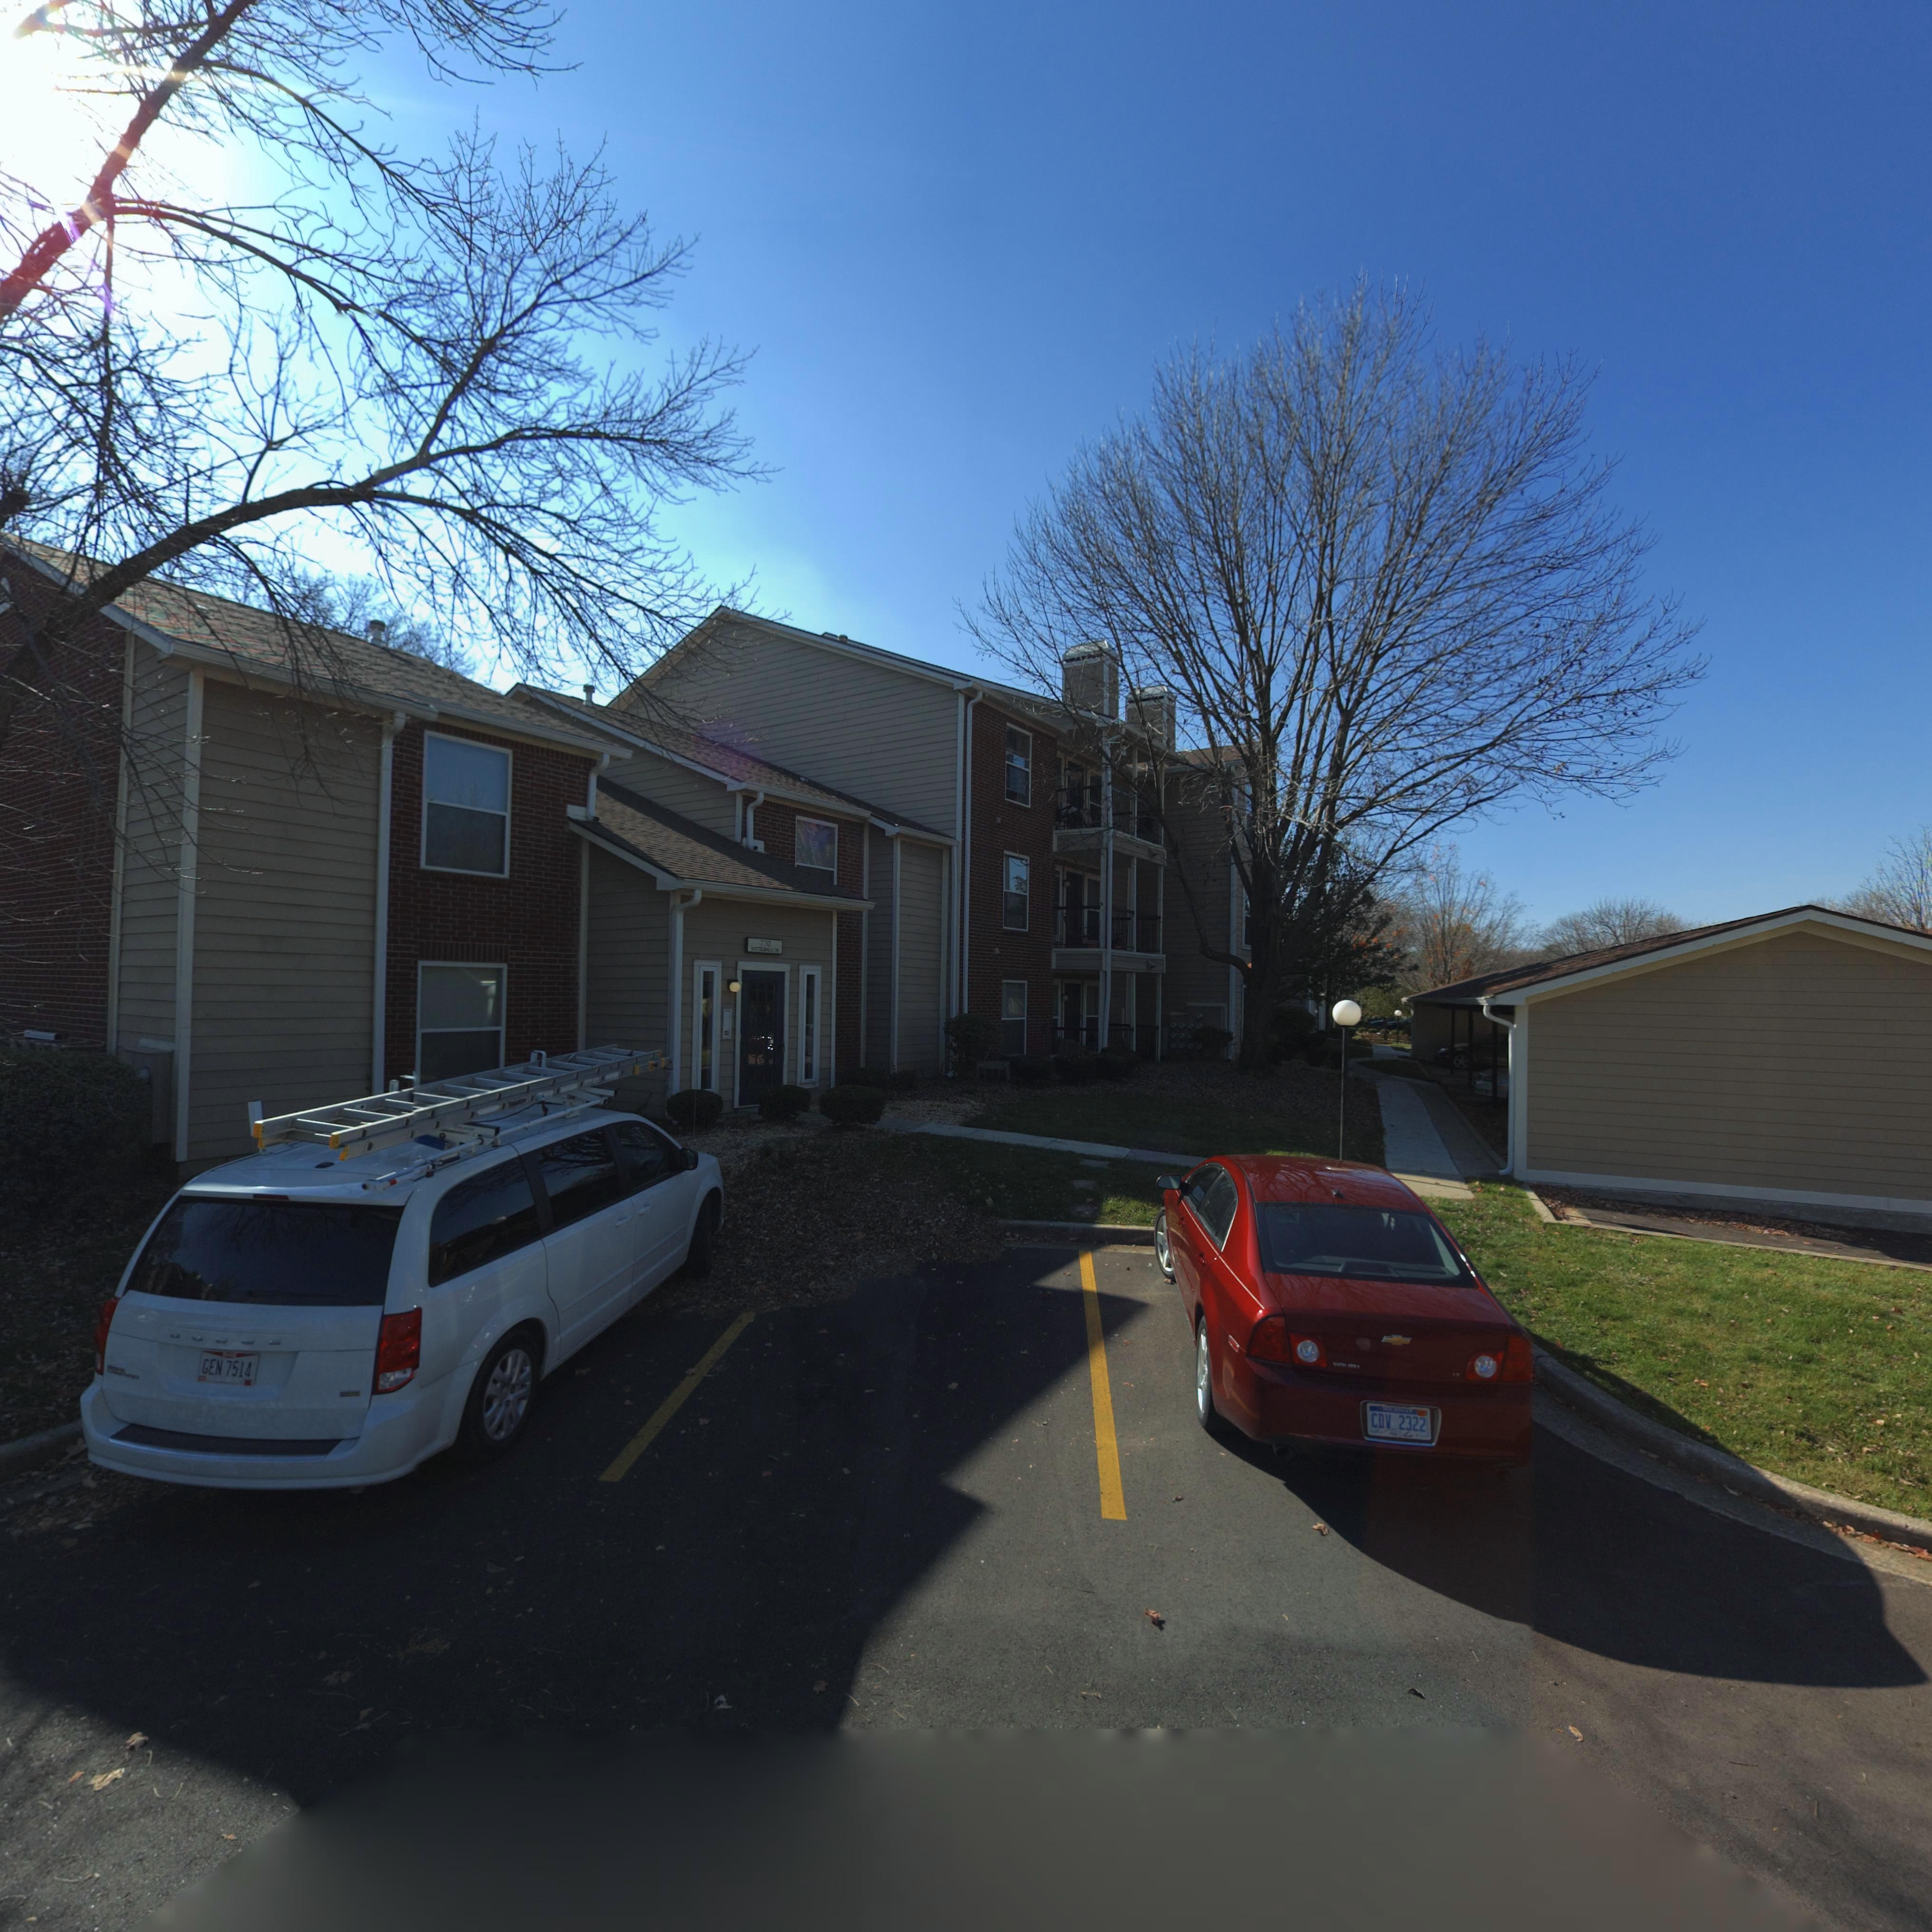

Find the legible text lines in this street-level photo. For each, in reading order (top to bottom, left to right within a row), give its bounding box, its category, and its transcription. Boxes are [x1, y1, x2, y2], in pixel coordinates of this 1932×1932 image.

[758, 938, 773, 948] StreetNumber: 770
[200, 1355, 254, 1380] None: GEN 7514
[1370, 1410, 1427, 1434] None: CDV 2322